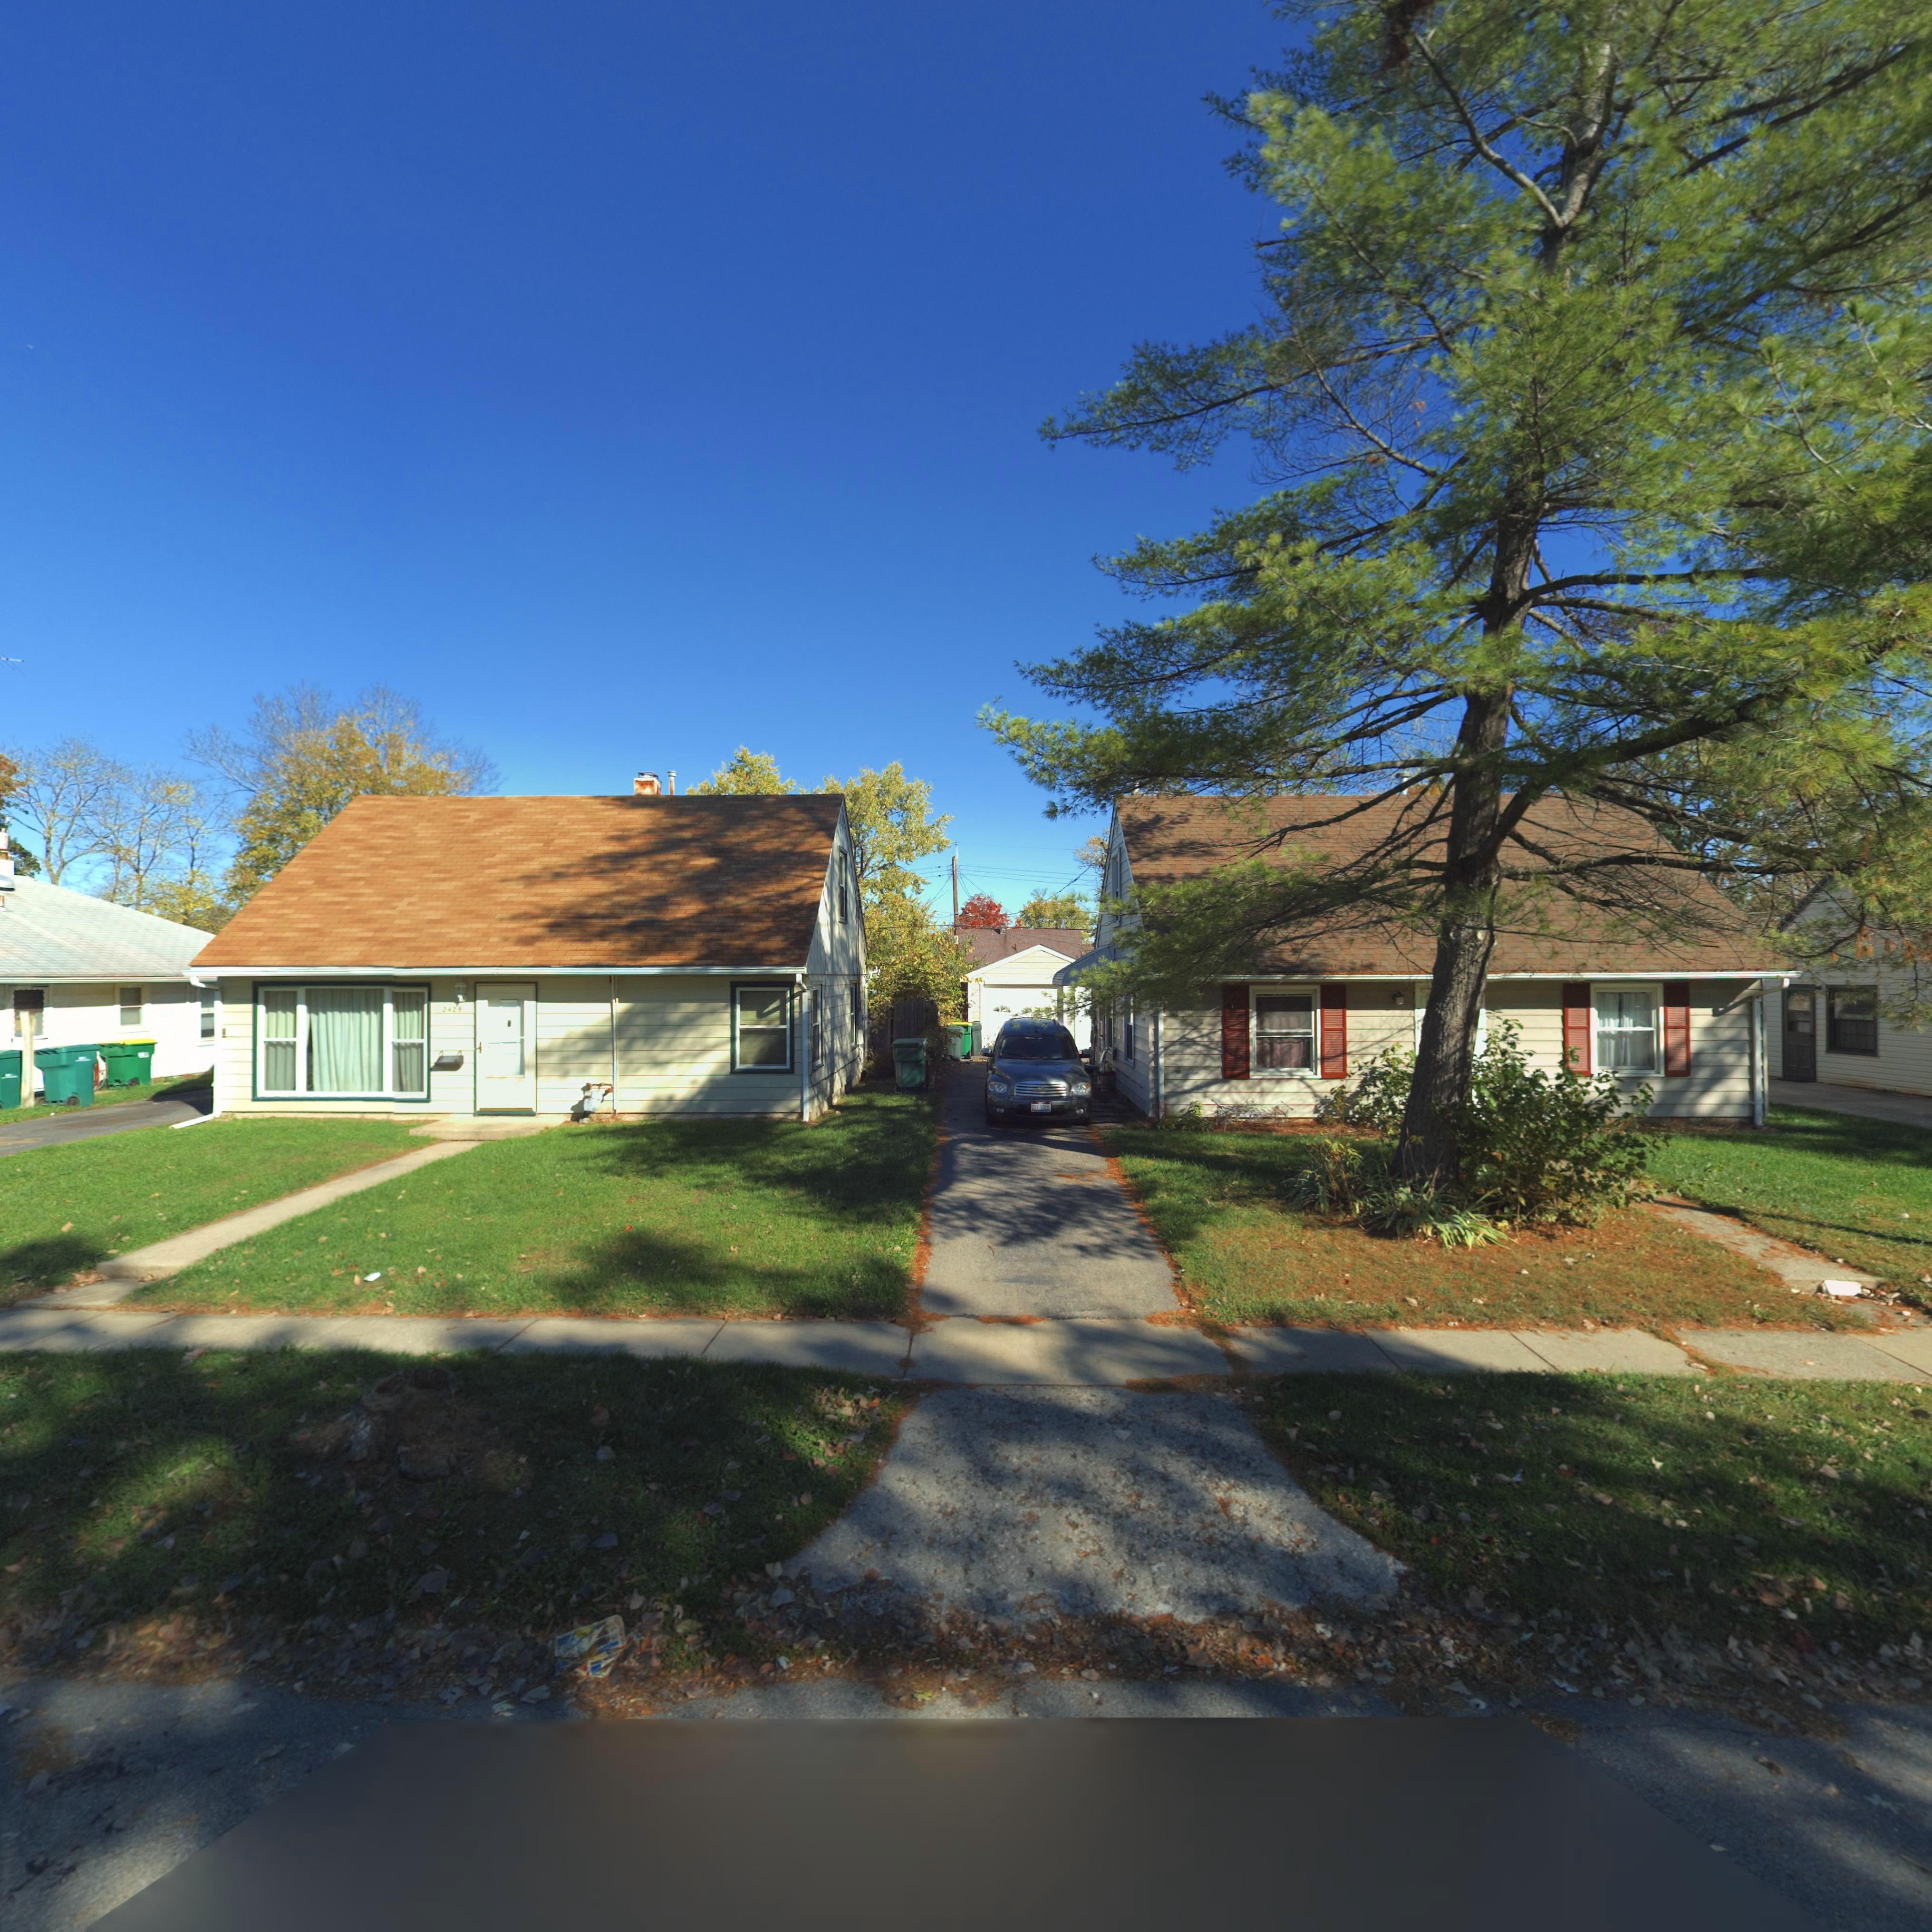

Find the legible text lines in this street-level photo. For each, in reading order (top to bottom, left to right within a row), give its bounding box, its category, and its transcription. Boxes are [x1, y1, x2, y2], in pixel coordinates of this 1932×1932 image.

[441, 1006, 463, 1013] StreetNumber: 2429
[1416, 1007, 1420, 1031] StreetNumber: *1*5